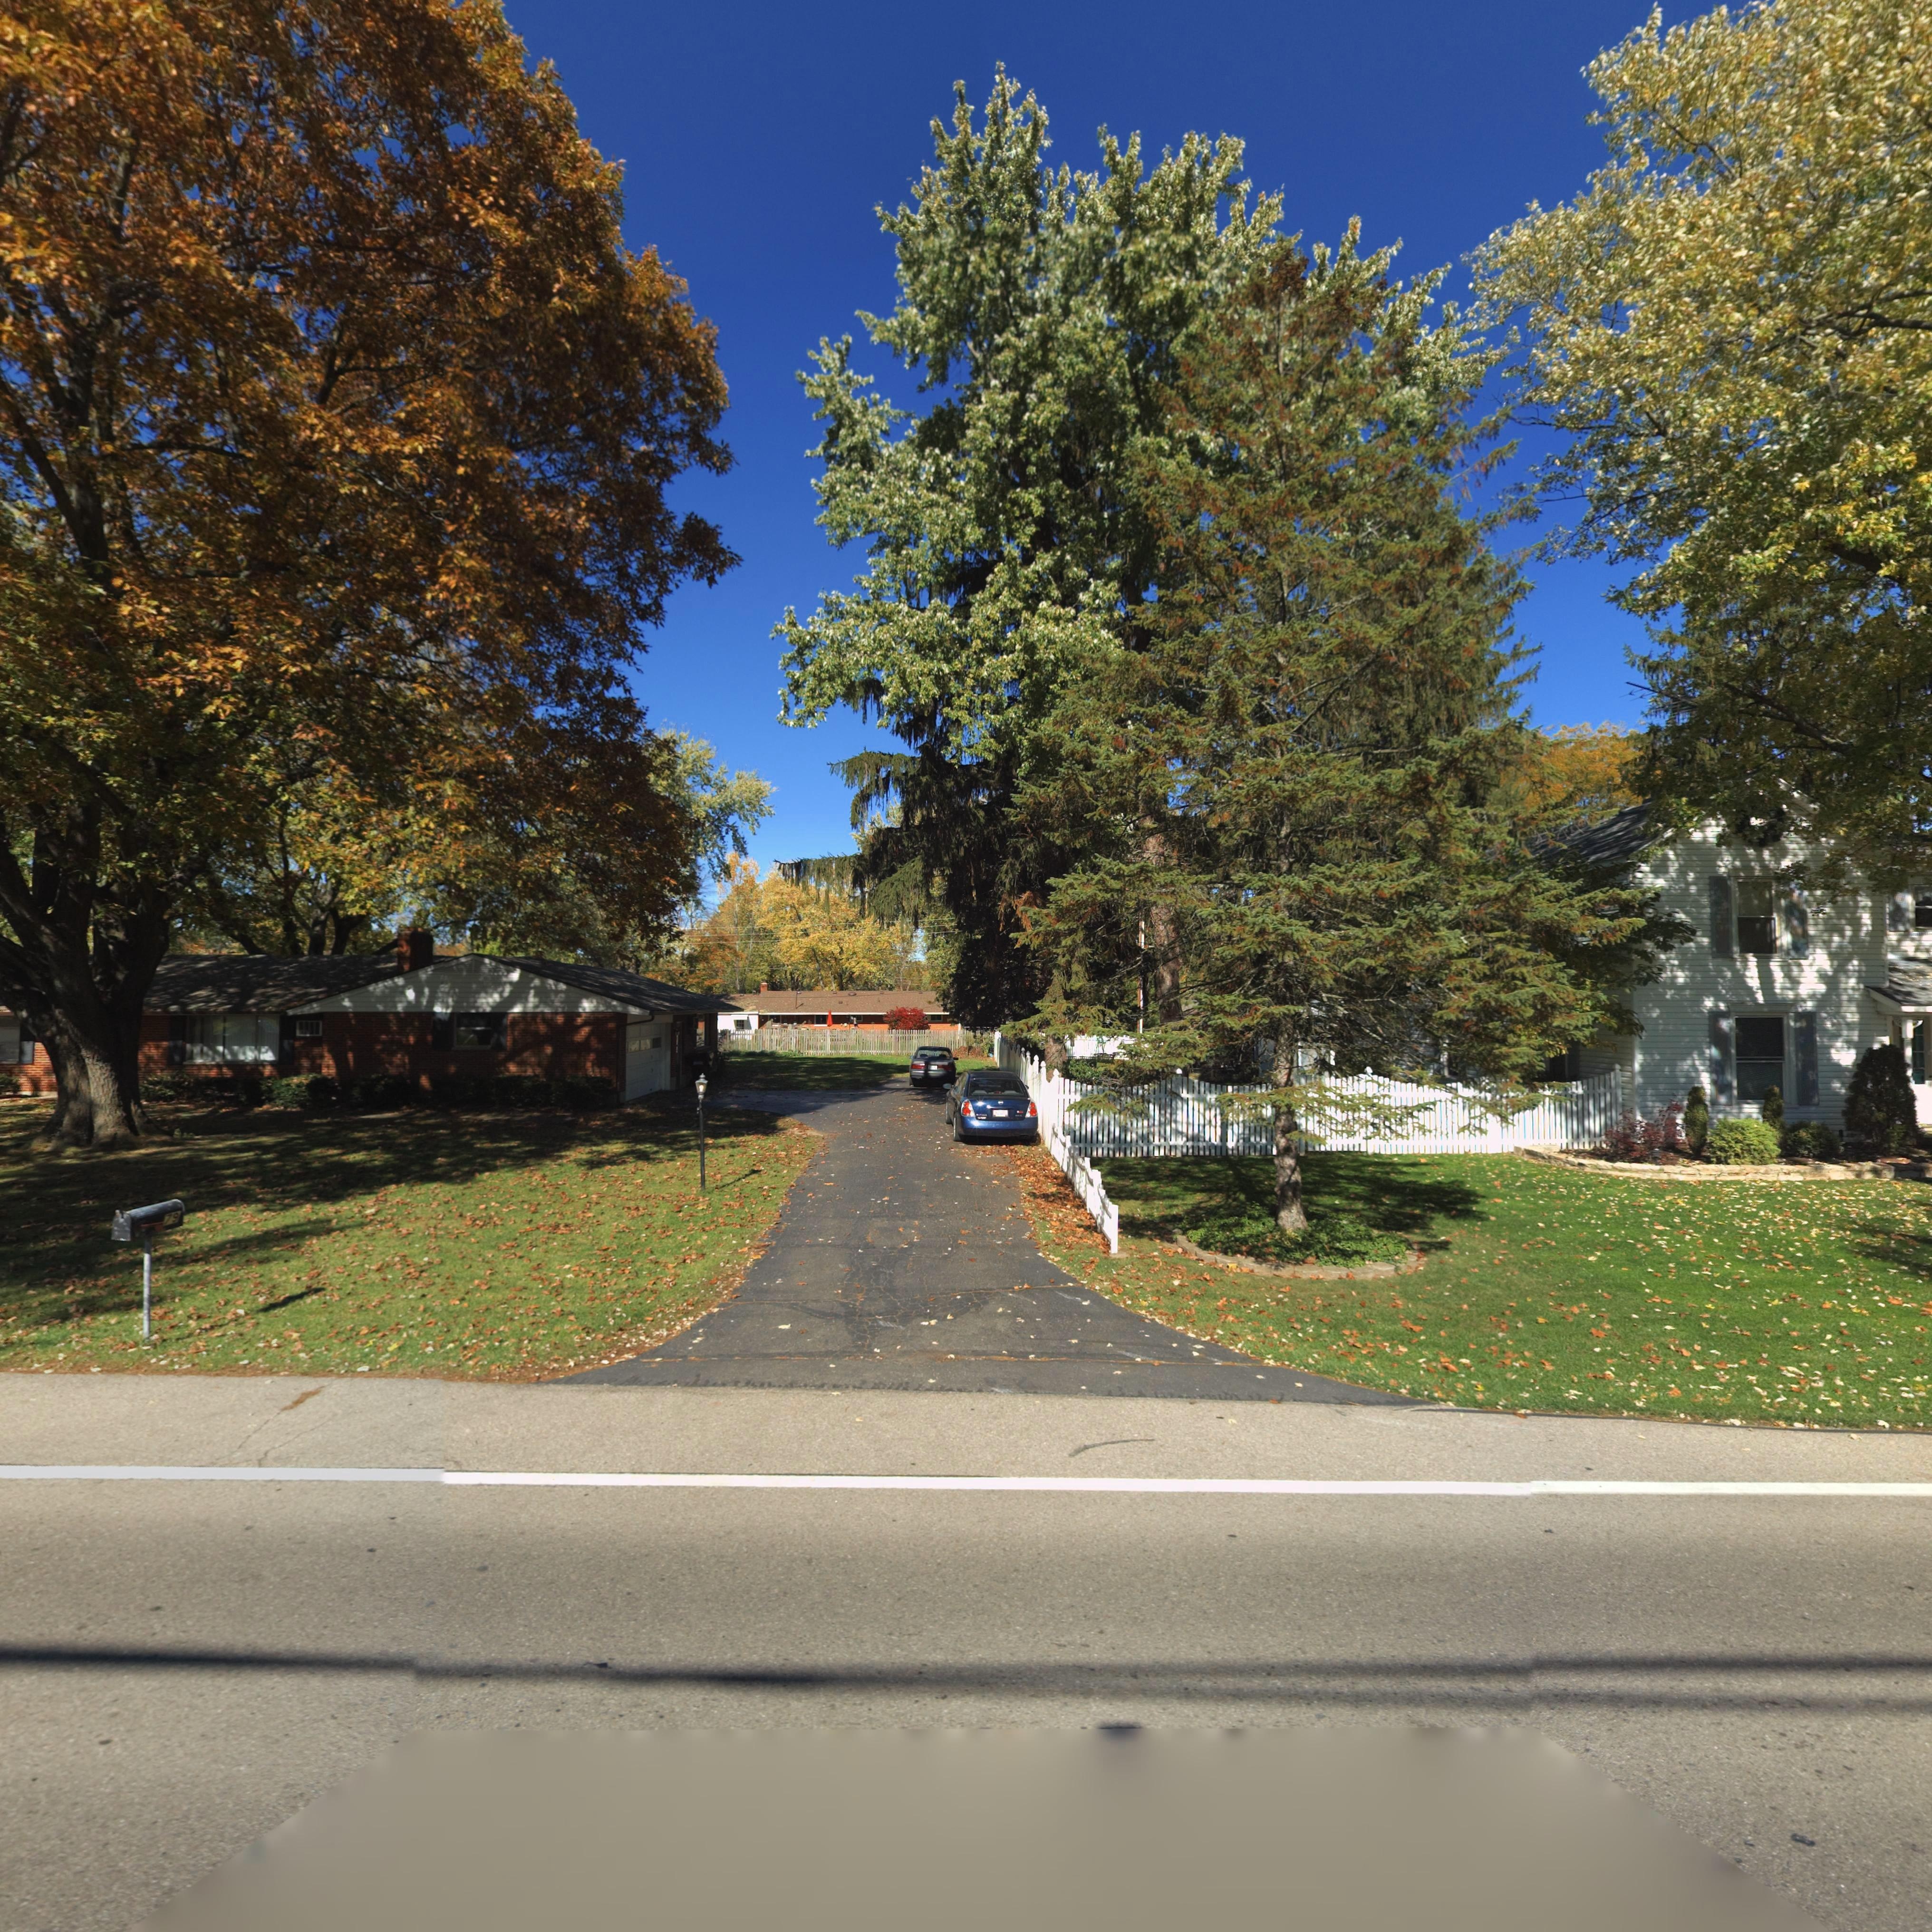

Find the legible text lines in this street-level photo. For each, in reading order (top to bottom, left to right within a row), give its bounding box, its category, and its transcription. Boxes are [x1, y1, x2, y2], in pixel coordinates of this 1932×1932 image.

[163, 1211, 180, 1226] StreetNumber: 79